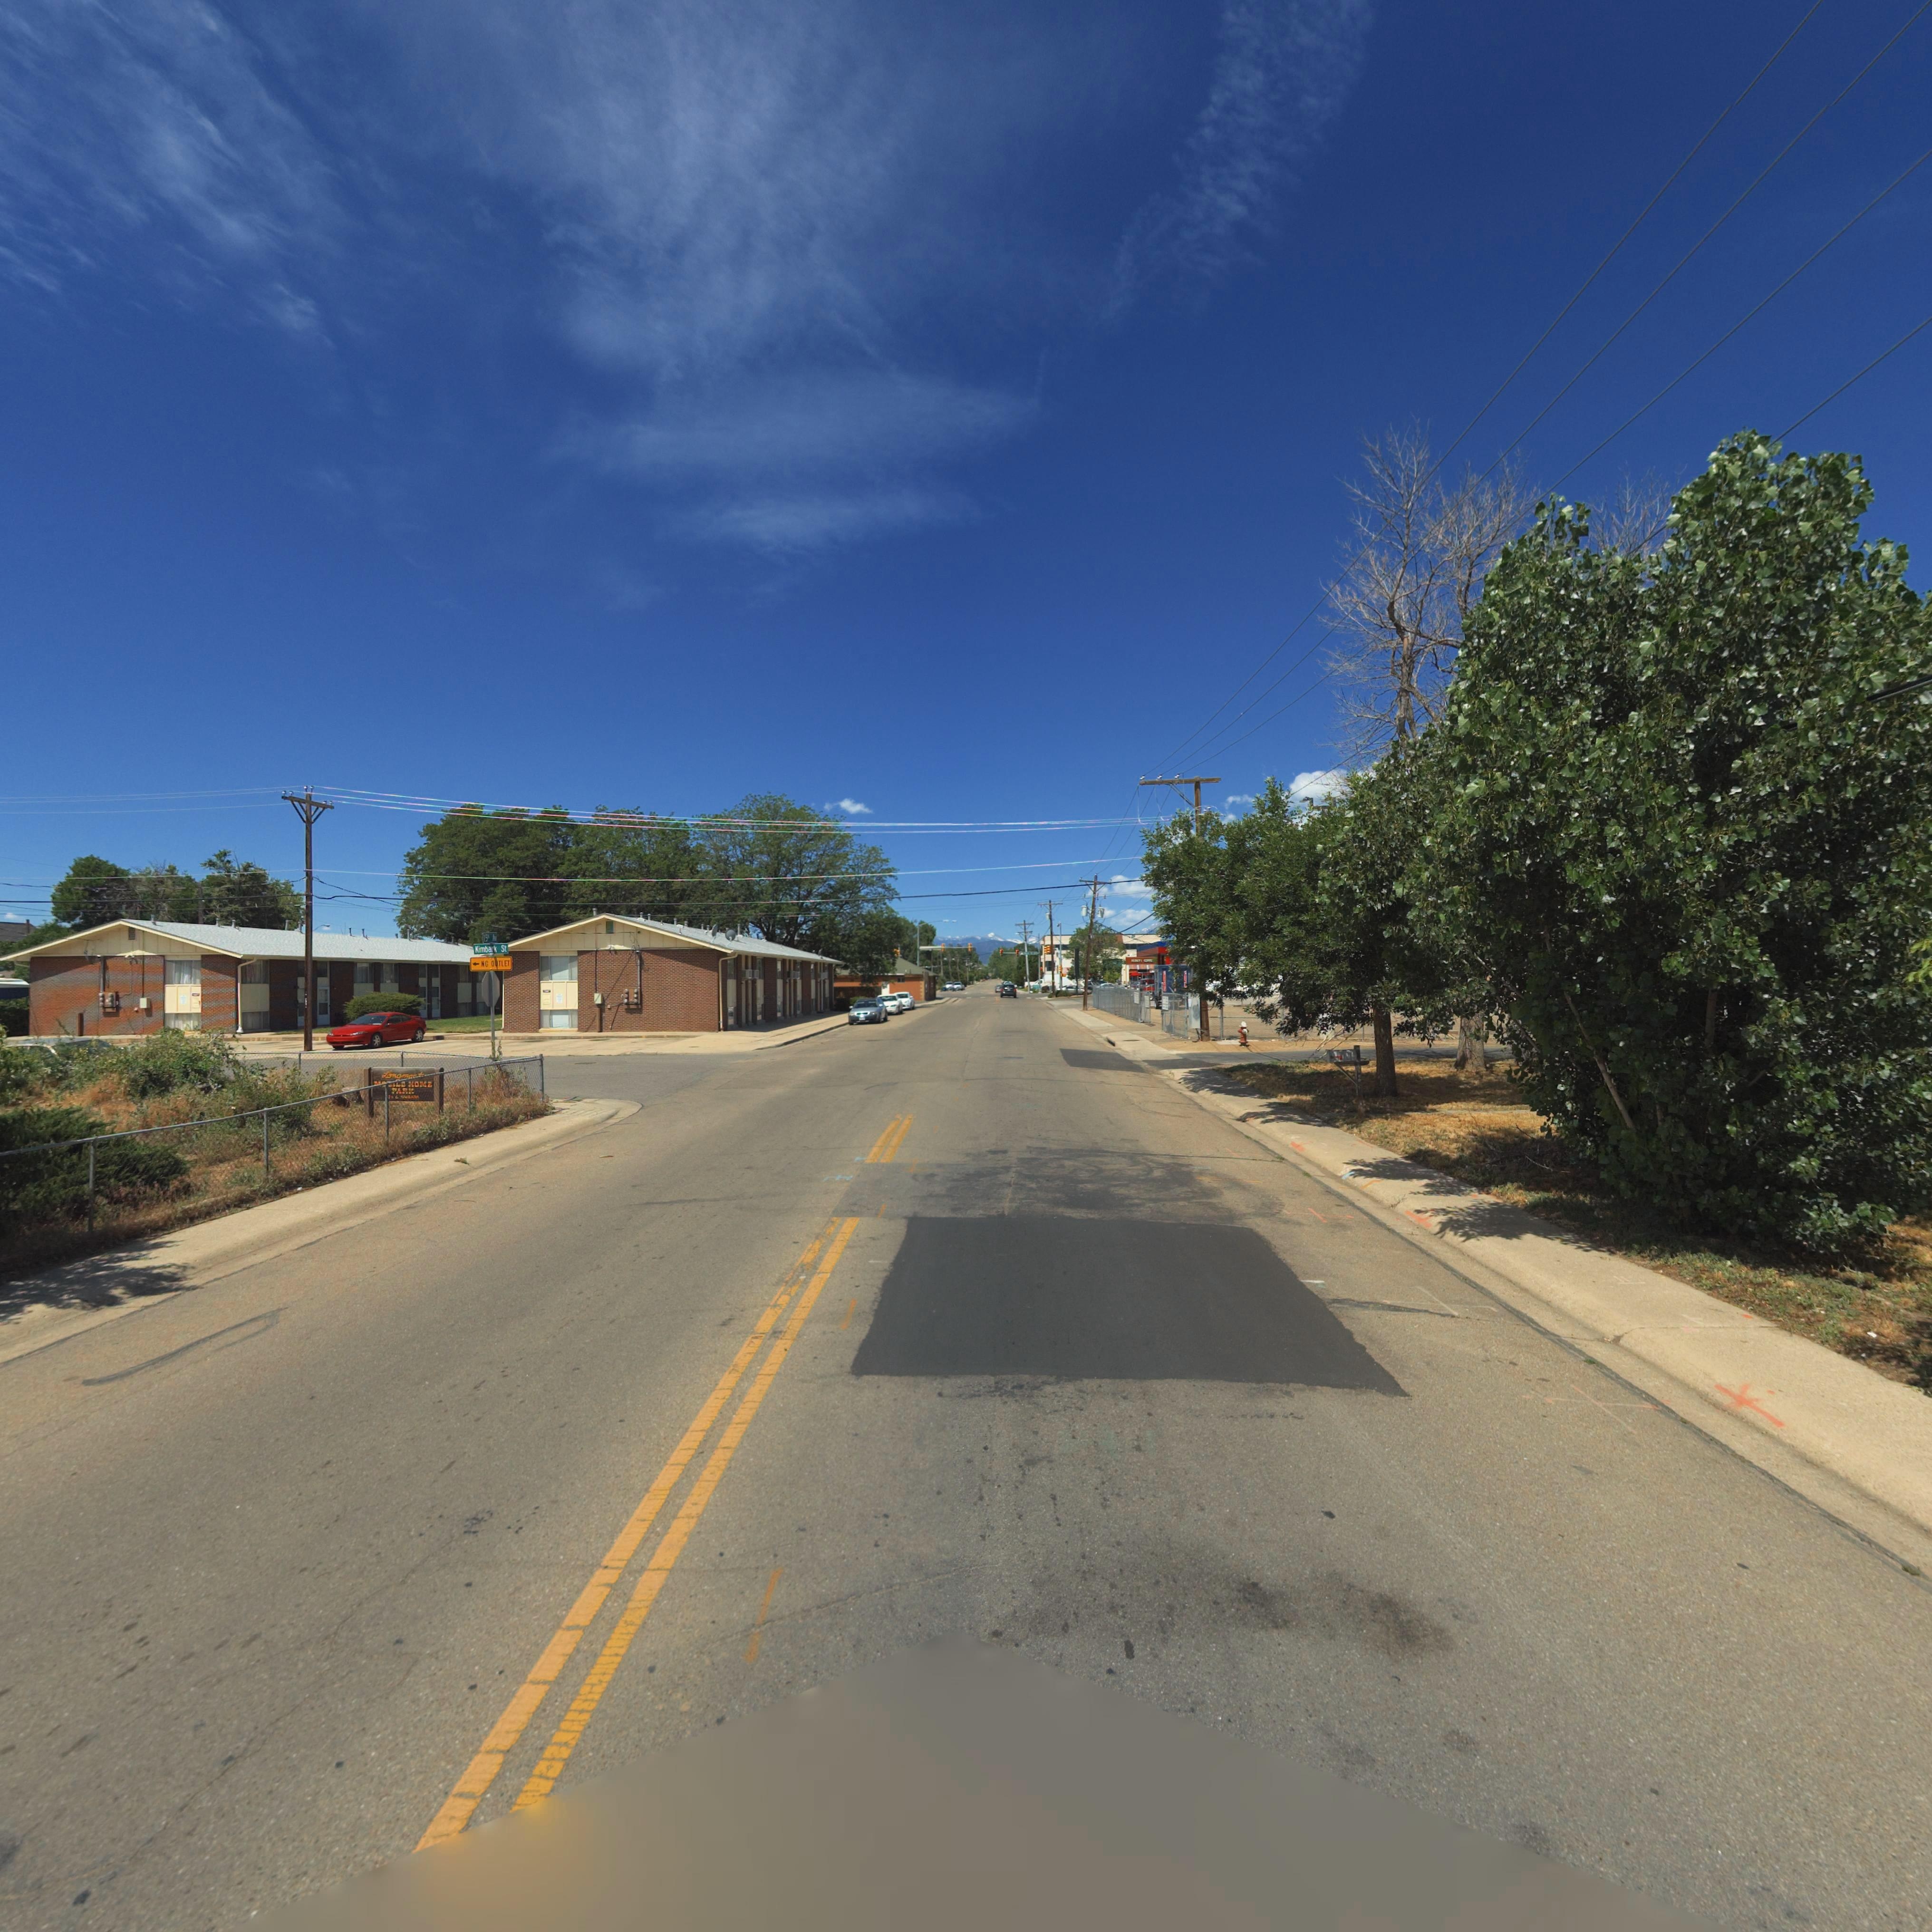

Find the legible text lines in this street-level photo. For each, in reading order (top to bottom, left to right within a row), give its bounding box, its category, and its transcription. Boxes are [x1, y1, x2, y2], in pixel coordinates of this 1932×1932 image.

[483, 933, 497, 942] StreetName: 15th Av
[474, 944, 507, 953] StreetName: Kimbark St